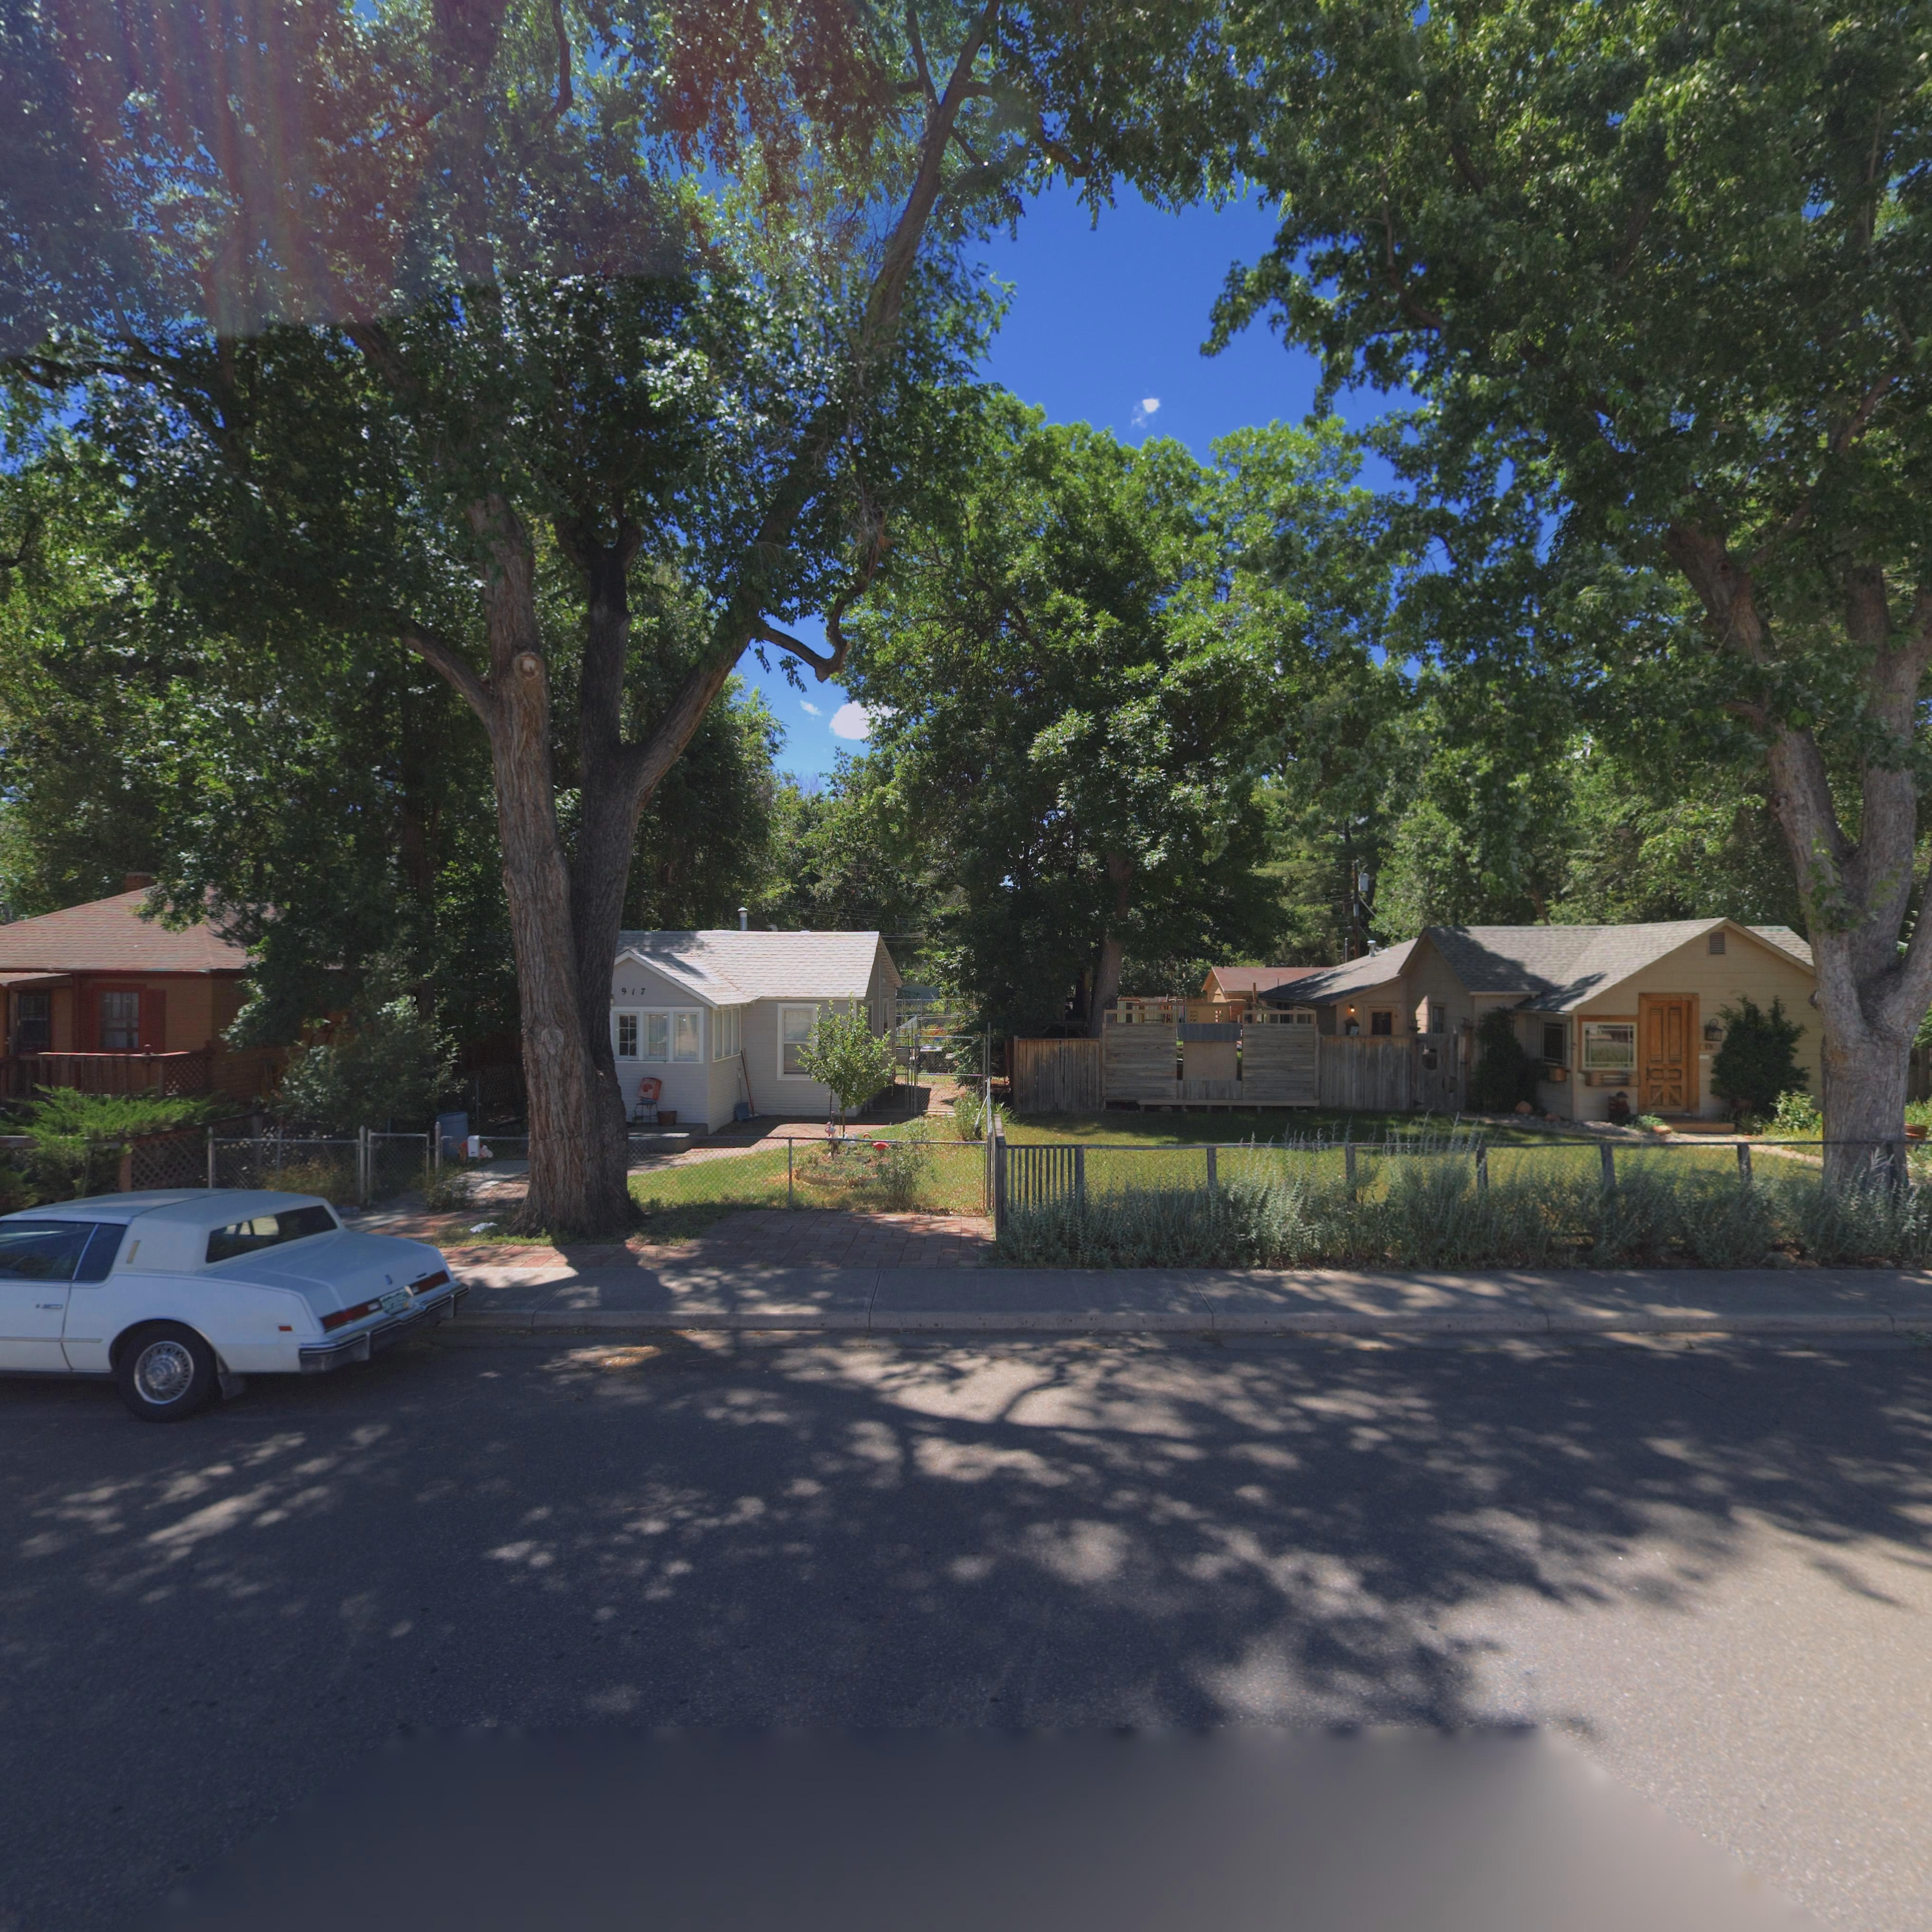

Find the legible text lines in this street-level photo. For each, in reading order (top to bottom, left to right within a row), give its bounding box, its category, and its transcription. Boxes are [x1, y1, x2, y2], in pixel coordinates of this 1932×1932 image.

[621, 987, 646, 995] StreetNumber: 917